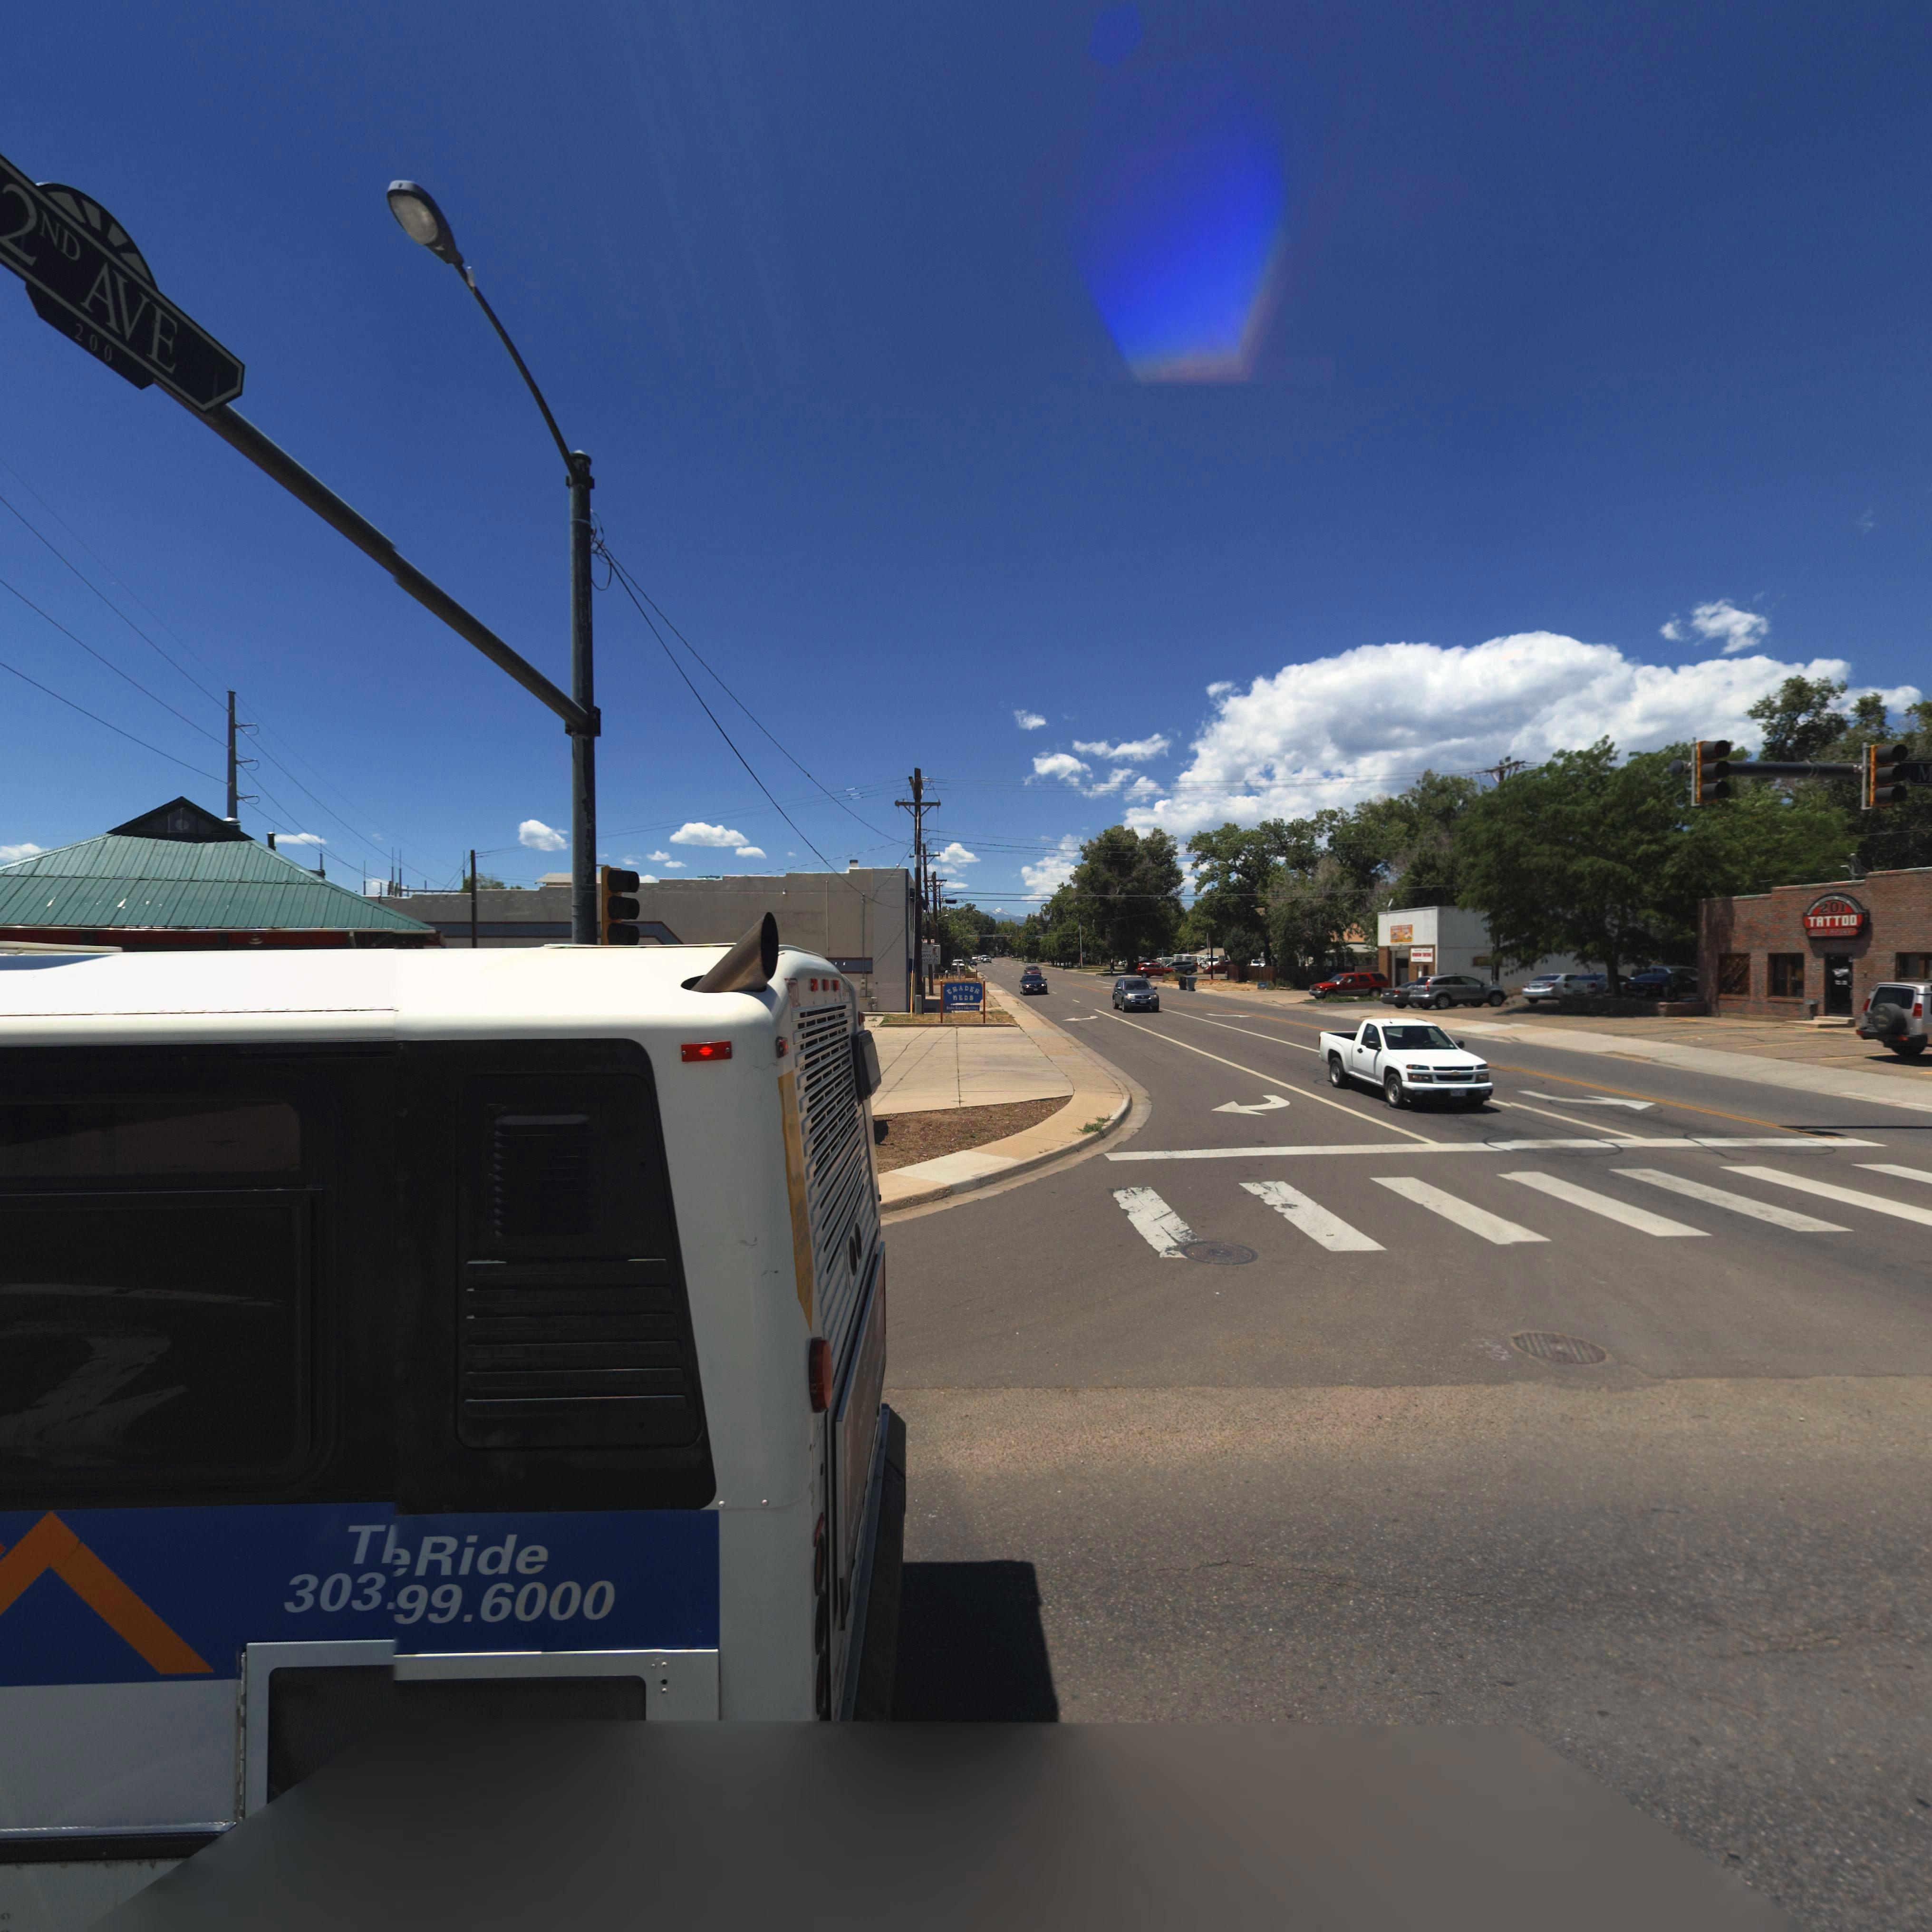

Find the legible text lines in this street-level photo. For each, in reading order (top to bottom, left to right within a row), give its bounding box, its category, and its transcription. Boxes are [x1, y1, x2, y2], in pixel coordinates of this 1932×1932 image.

[4, 173, 181, 381] StreetName: 2ND AVE
[74, 321, 113, 364] StreetNumberRange: 200
[1817, 901, 1846, 913] StreetNumber: 201
[1806, 915, 1857, 927] BusinessName: TATTOO
[1809, 928, 1855, 936] BusinessName: MAIN STREET
[1810, 928, 1856, 936] StreetName: MAIN STREET
[921, 953, 932, 958] BusinessName: *VY
[922, 957, 938, 962] BusinessName: ****S
[945, 985, 981, 995] BusinessName: TRADER 
[952, 995, 973, 1000] BusinessName: NEDS